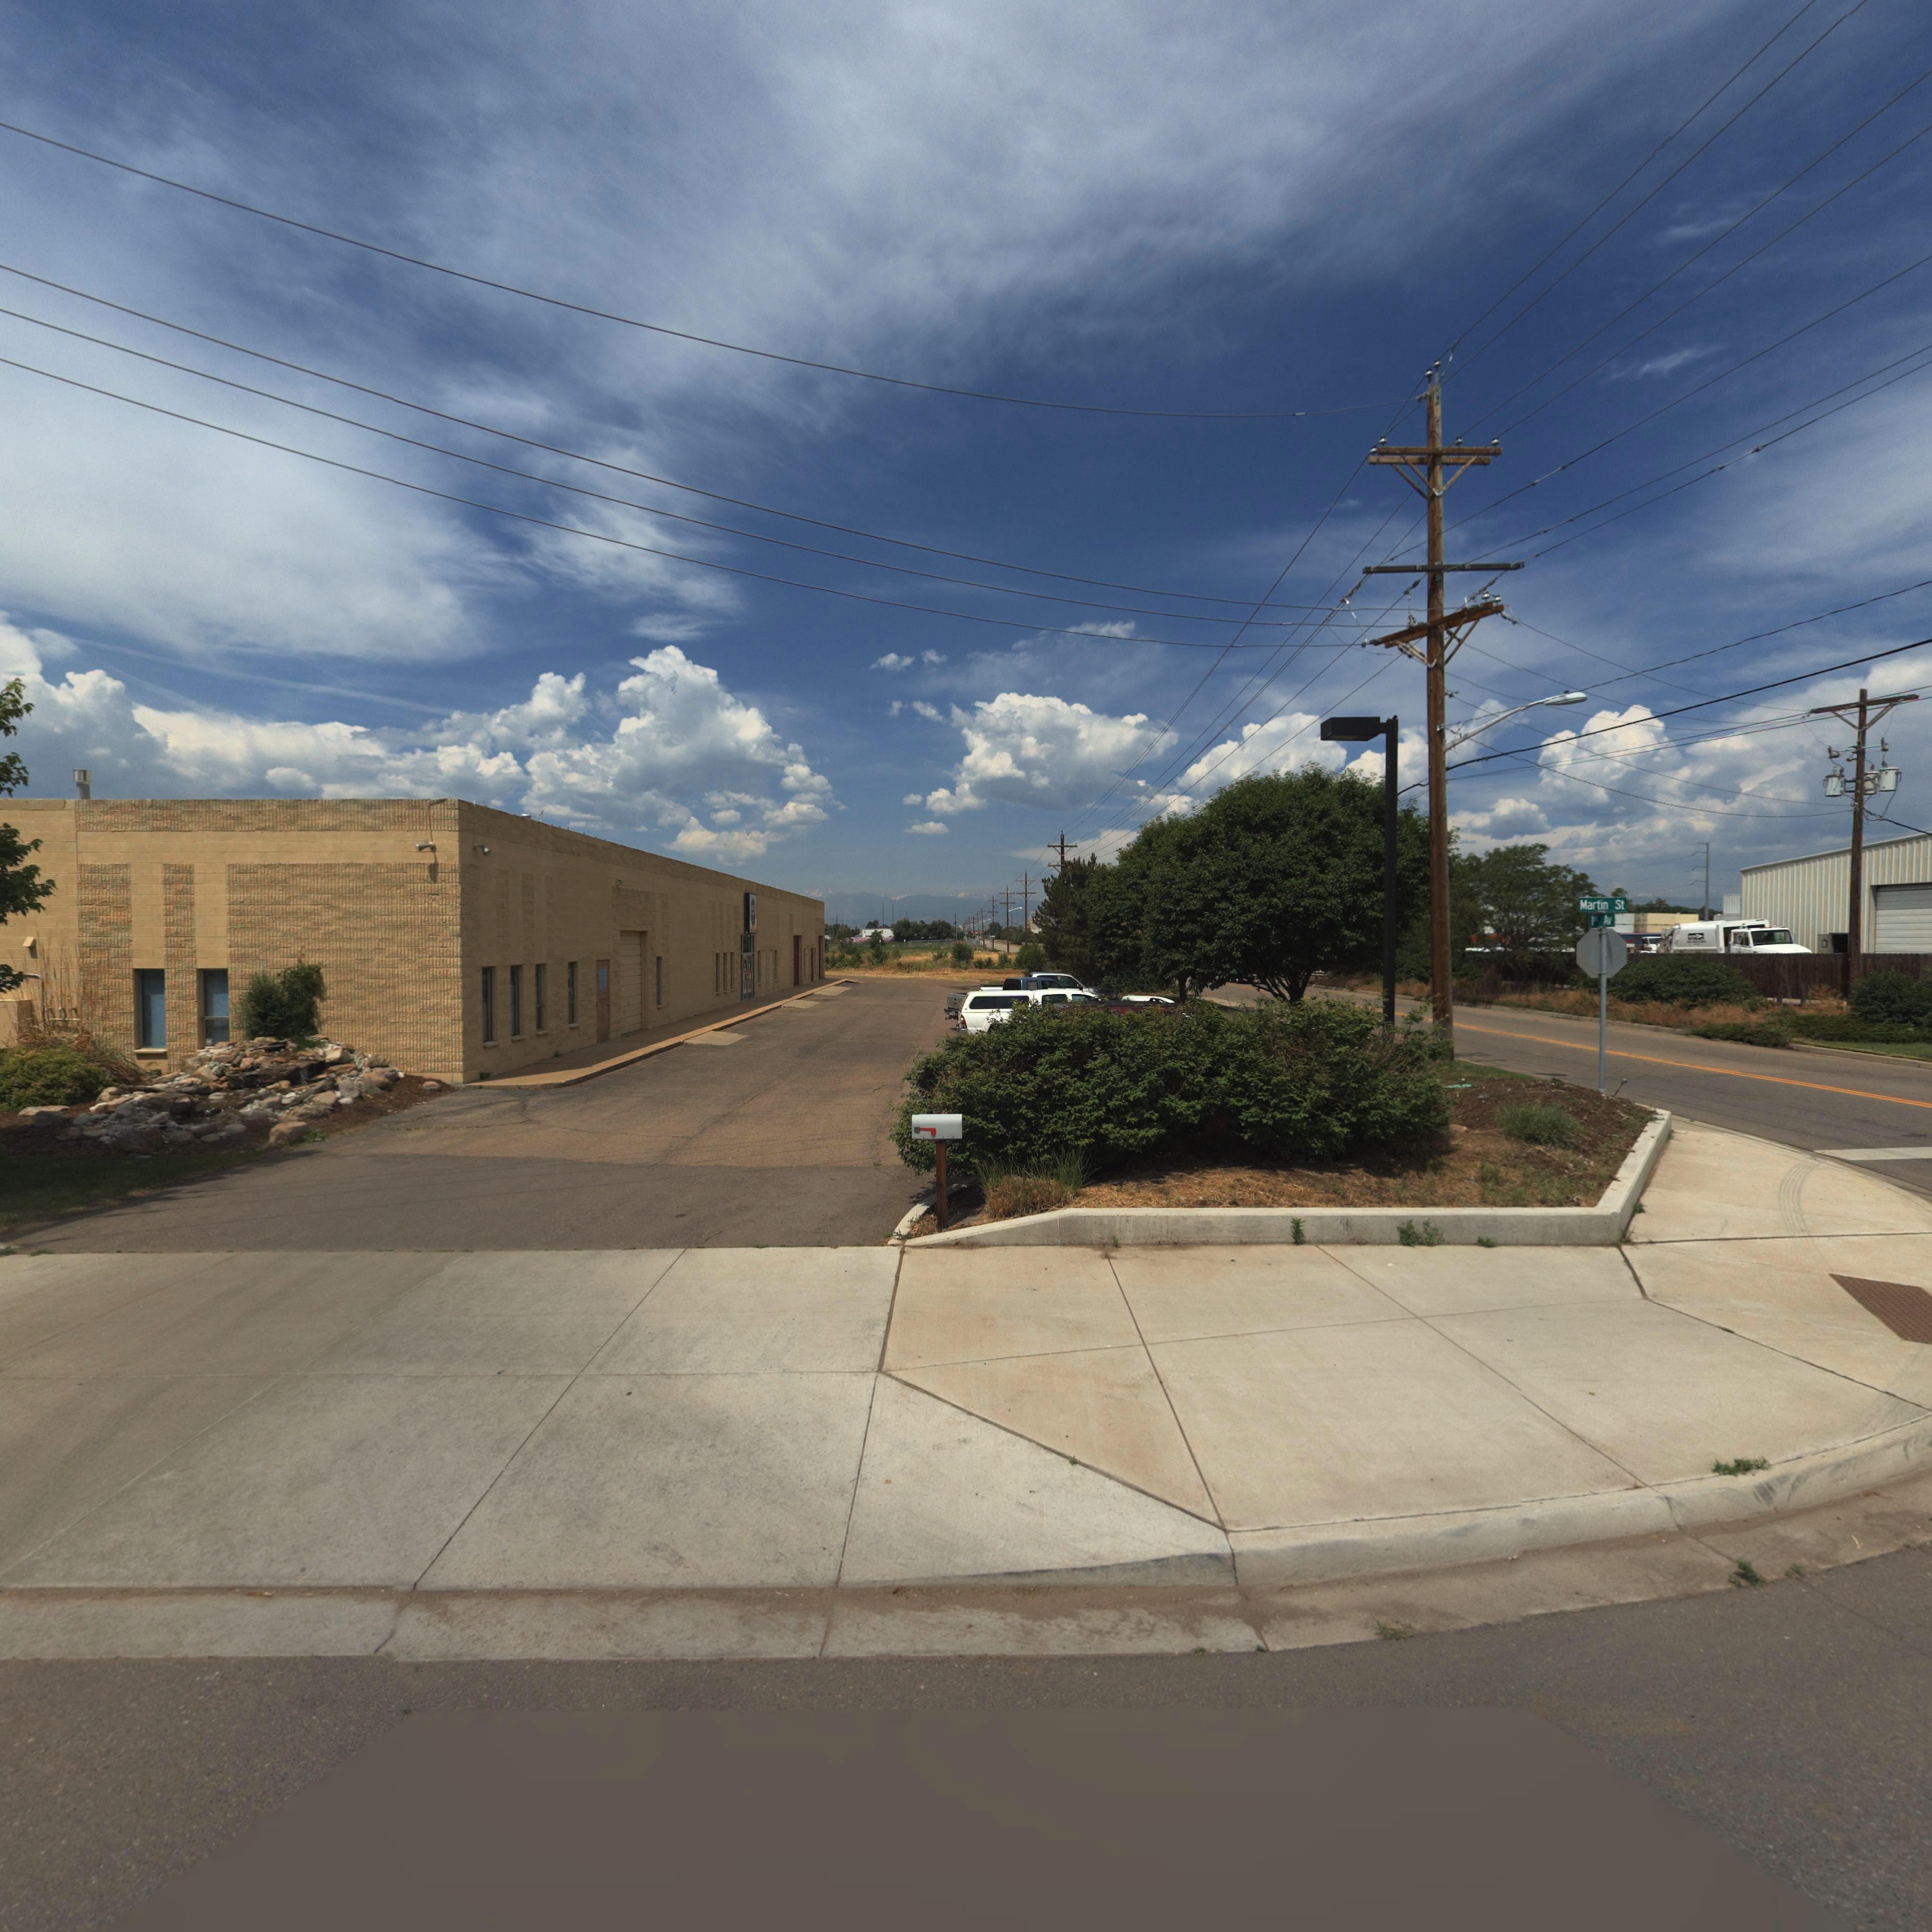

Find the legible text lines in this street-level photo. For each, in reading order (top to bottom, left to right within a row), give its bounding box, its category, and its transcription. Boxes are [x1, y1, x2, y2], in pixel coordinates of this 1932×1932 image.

[750, 905, 755, 910] BusinessName: *BC
[1579, 899, 1625, 910] StreetName: Martin St
[1591, 914, 1612, 926] StreetName: 1s* Av